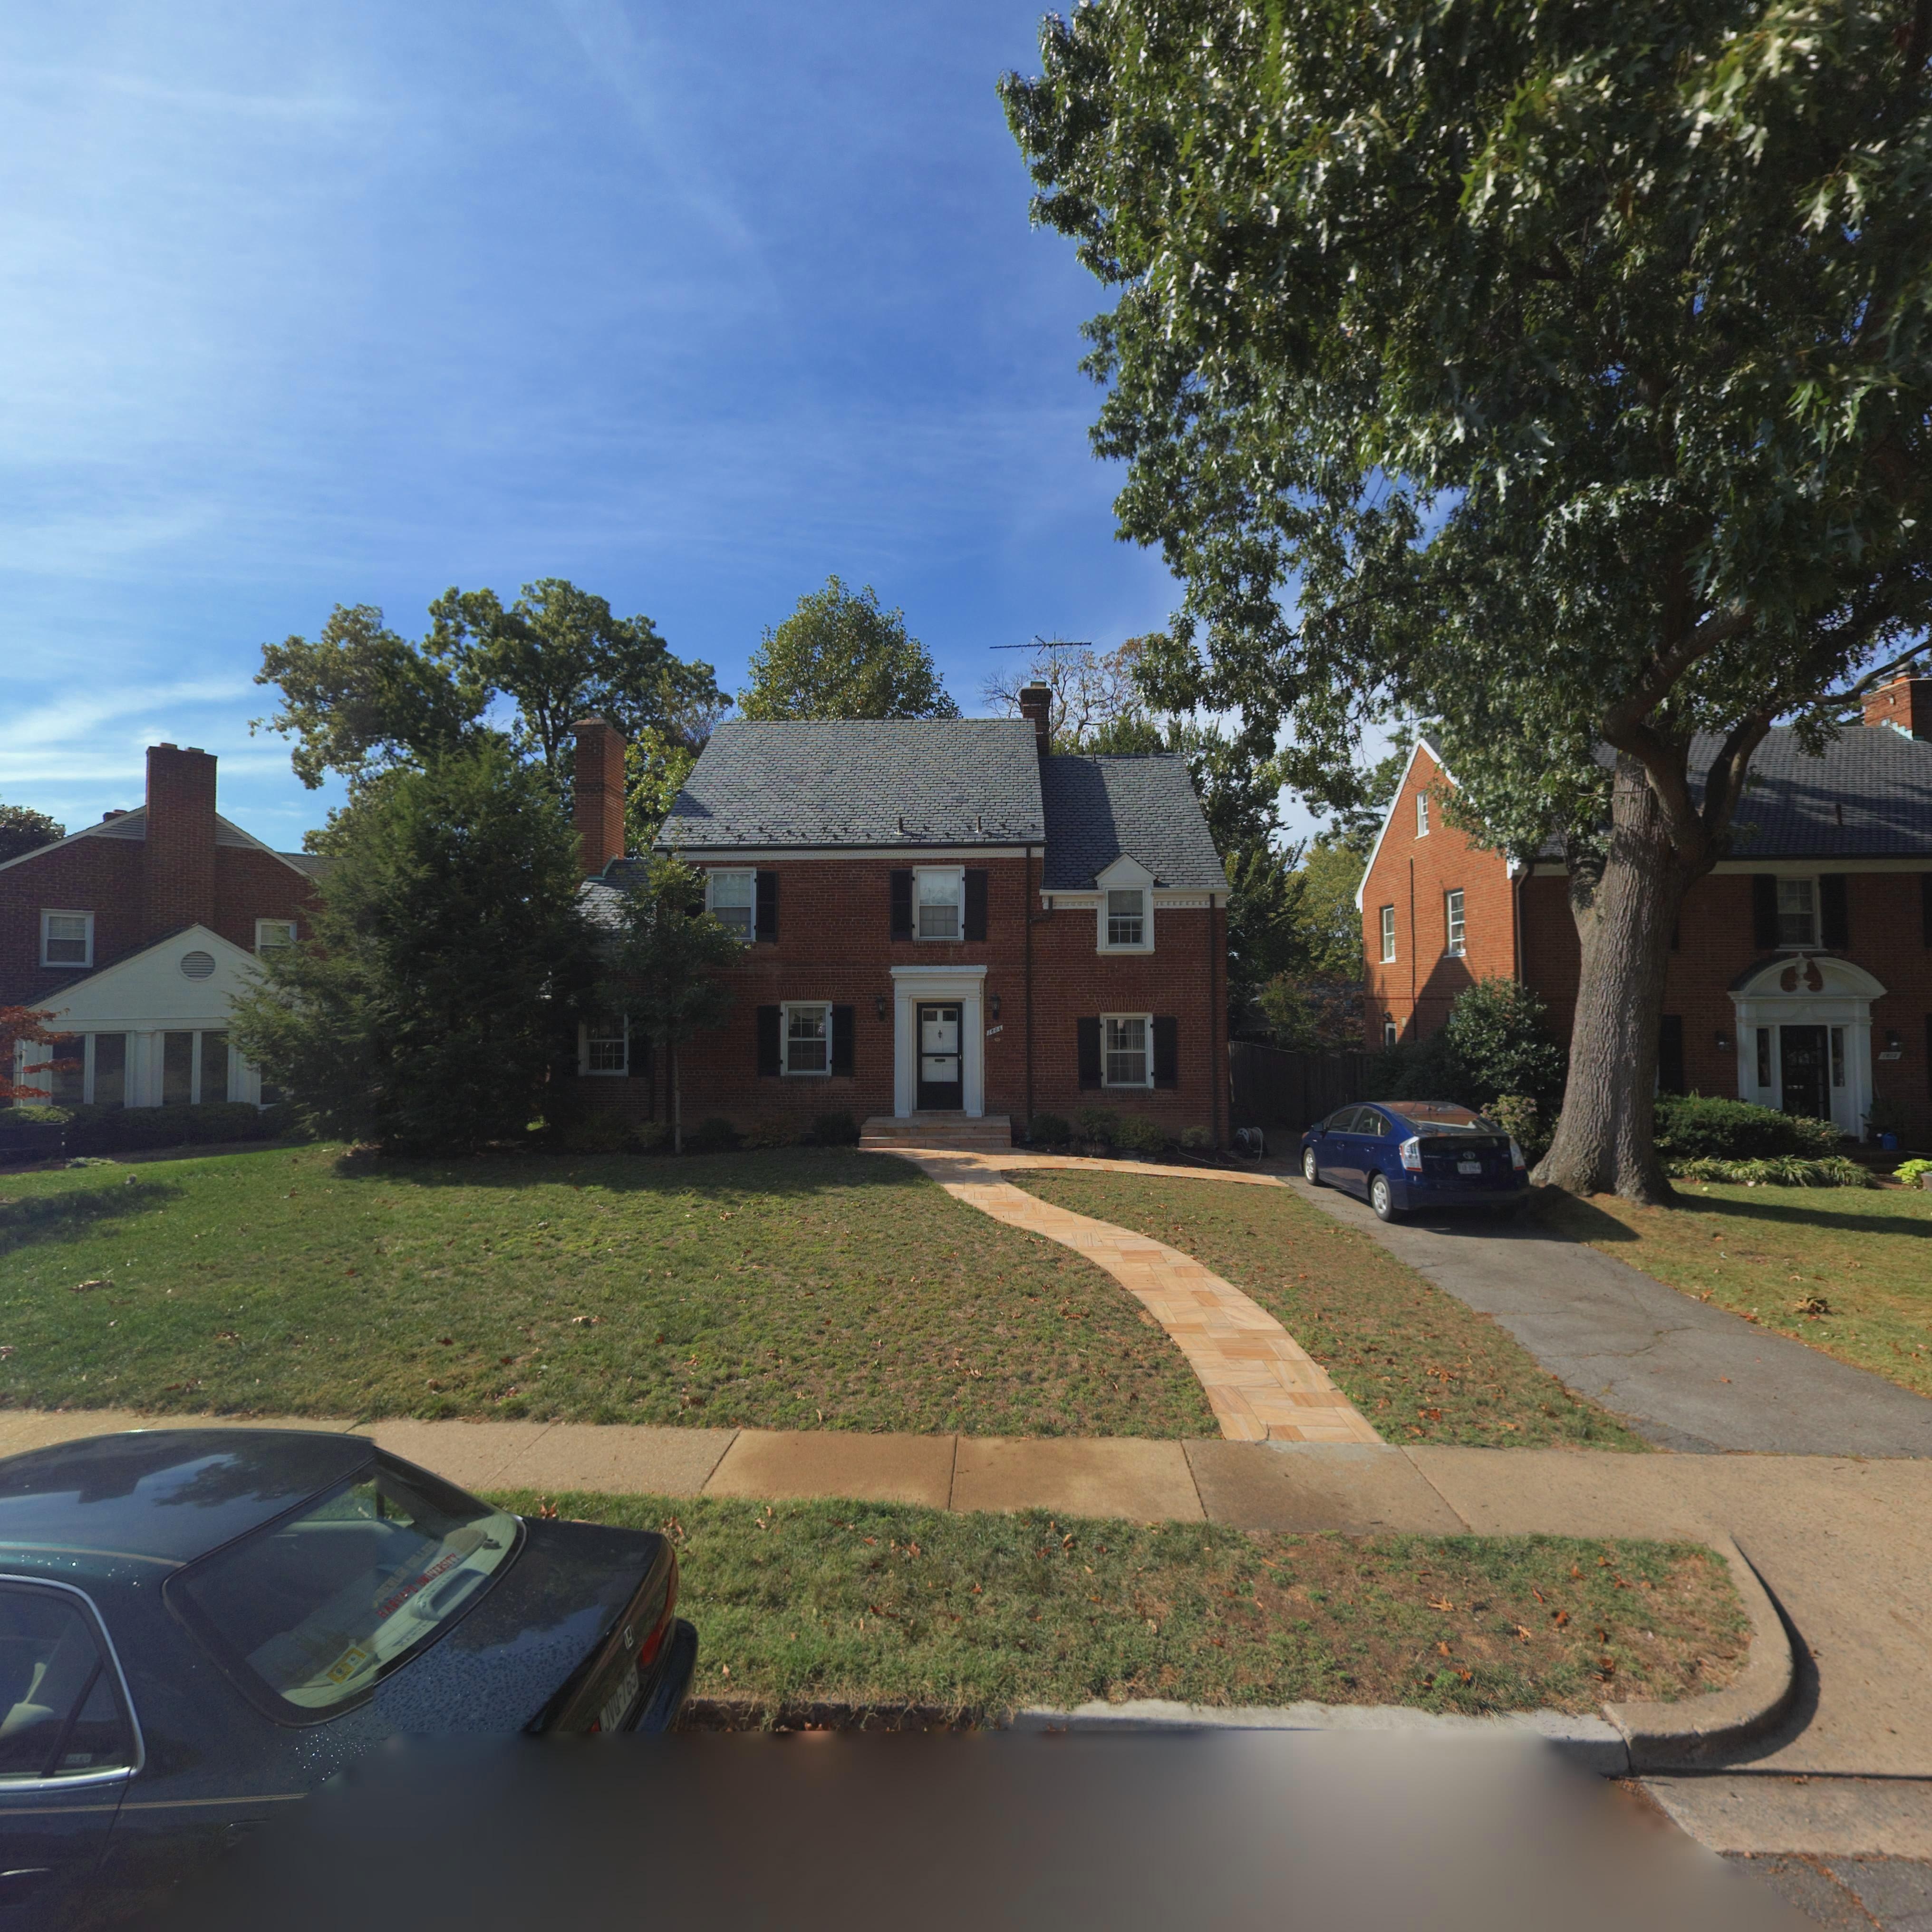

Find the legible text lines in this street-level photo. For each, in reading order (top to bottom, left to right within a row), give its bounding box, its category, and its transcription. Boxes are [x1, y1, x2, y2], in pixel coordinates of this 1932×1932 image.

[987, 1024, 1003, 1037] StreetNumber: 1806
[373, 1550, 462, 1620] None: HAR**** ***VERSITY
[602, 1662, 638, 1732] None: JV*-***